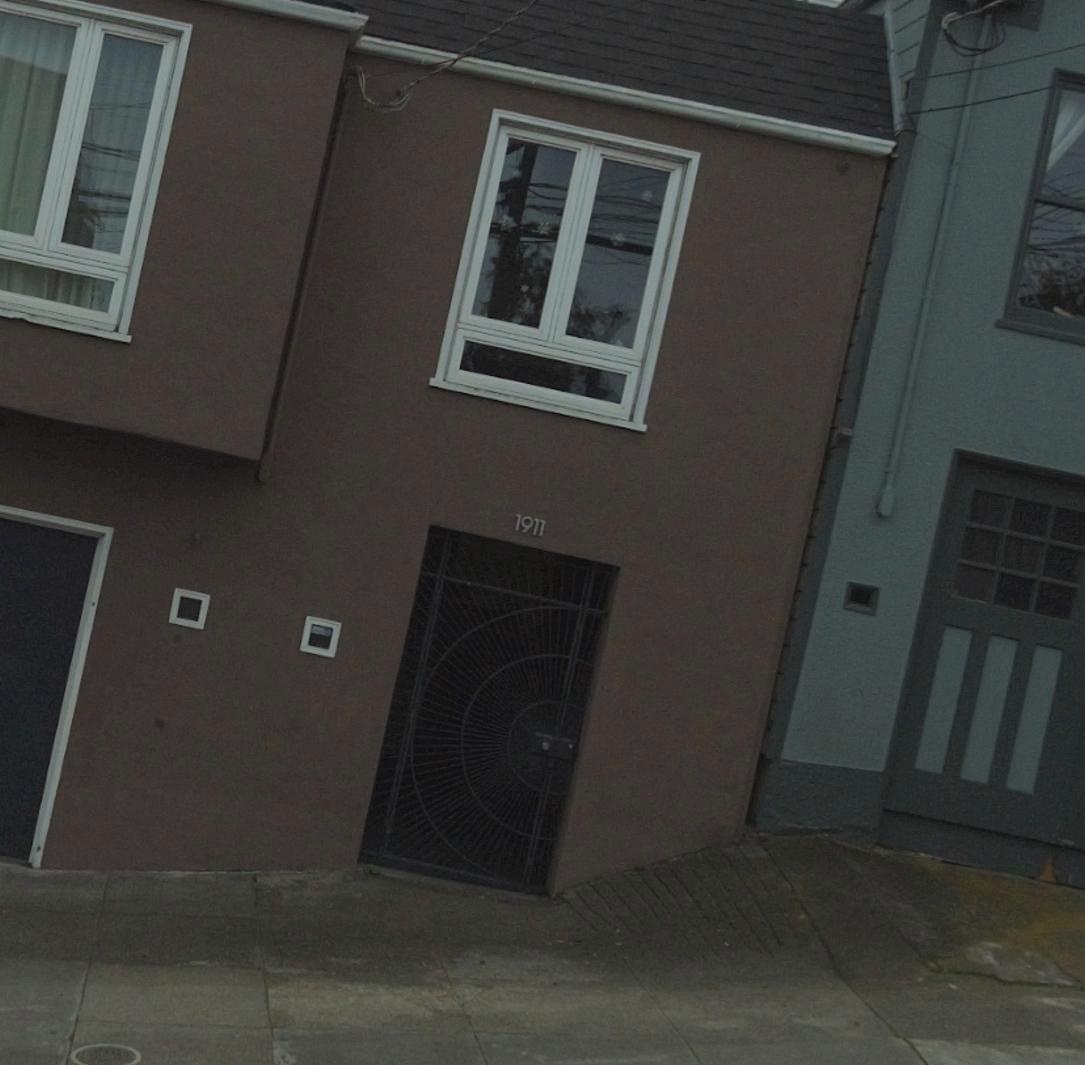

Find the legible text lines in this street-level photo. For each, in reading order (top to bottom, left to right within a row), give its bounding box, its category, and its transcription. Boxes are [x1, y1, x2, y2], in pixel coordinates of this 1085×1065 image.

[512, 512, 548, 539] StreetNumber: 1911